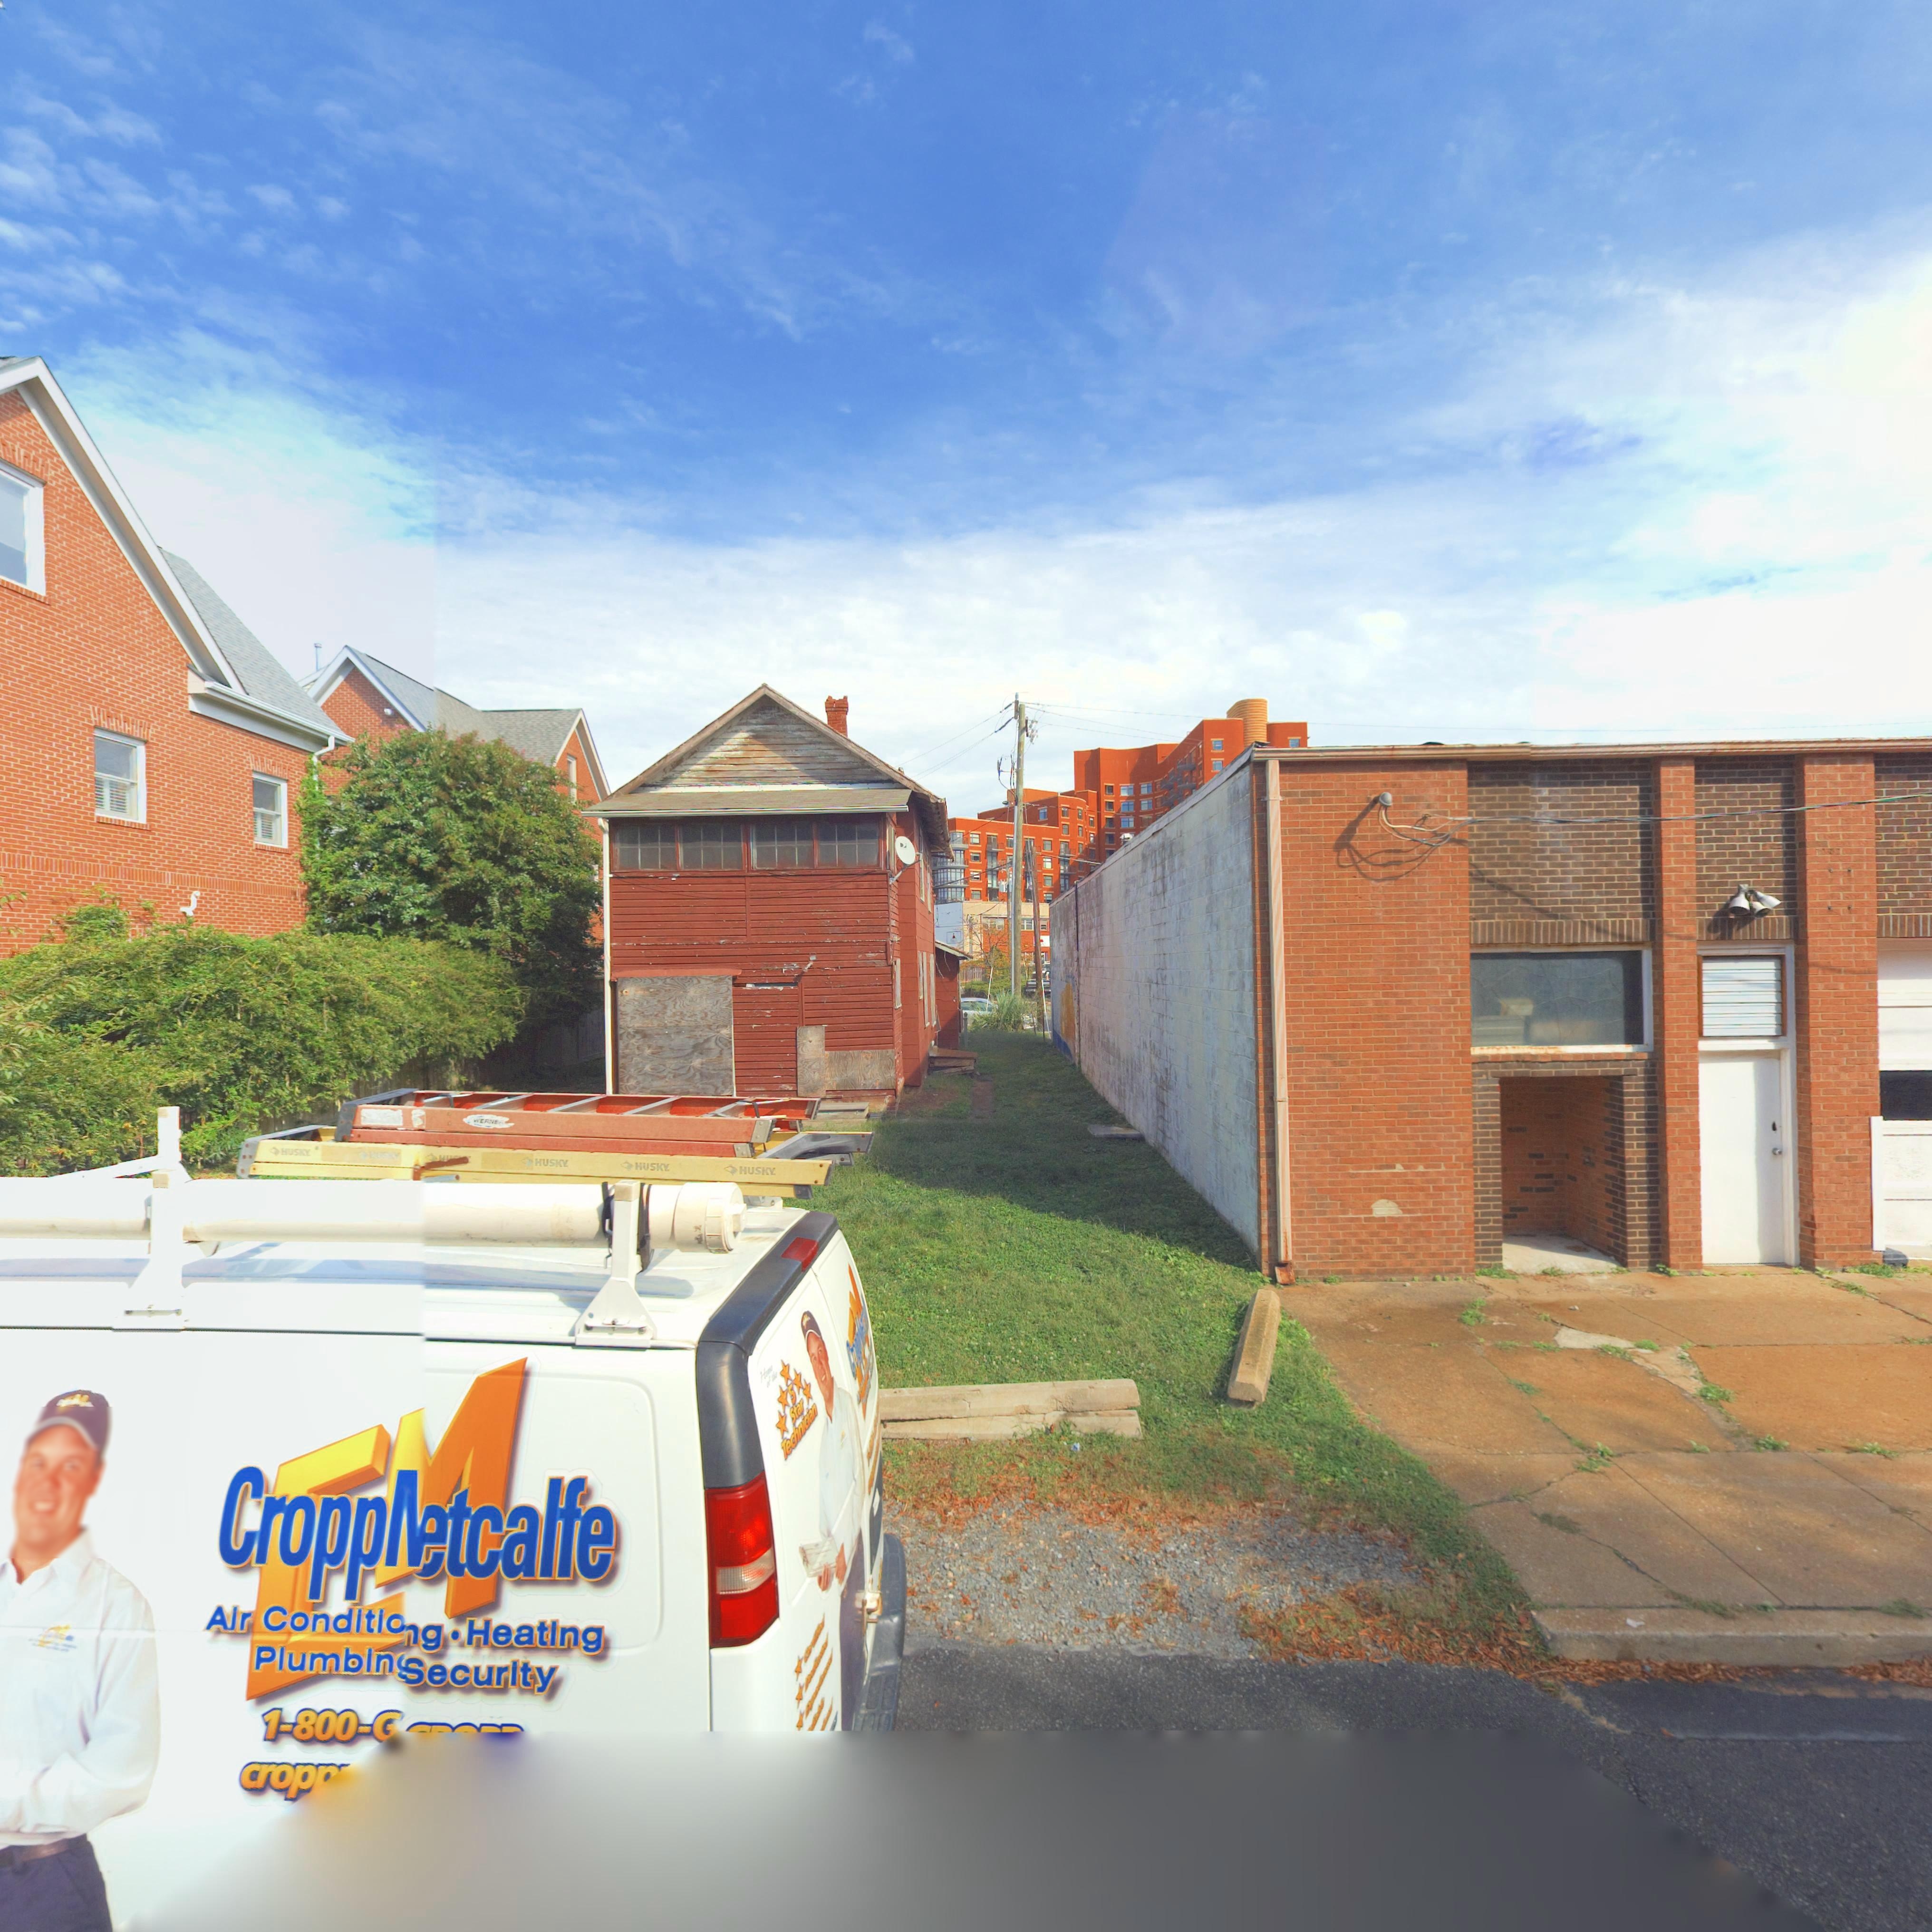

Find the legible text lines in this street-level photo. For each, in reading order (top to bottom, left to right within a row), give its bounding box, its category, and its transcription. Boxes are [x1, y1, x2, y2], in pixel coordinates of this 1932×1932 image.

[280, 1147, 312, 1157] None: HUSKY
[533, 1157, 569, 1169] None: HUSKY
[634, 1161, 671, 1172] None: HUSKY
[738, 1165, 778, 1176] None: HUSKY
[786, 1381, 798, 1406] None: 5
[788, 1397, 805, 1425] None: Star
[780, 1401, 819, 1462] None: Technician
[217, 1464, 617, 1603] None: Cropp**tcalfe
[252, 1644, 558, 1694] None: Plumbin**ecurity
[261, 1708, 360, 1743] None: 1-800
[240, 1762, 319, 1800] None: crop